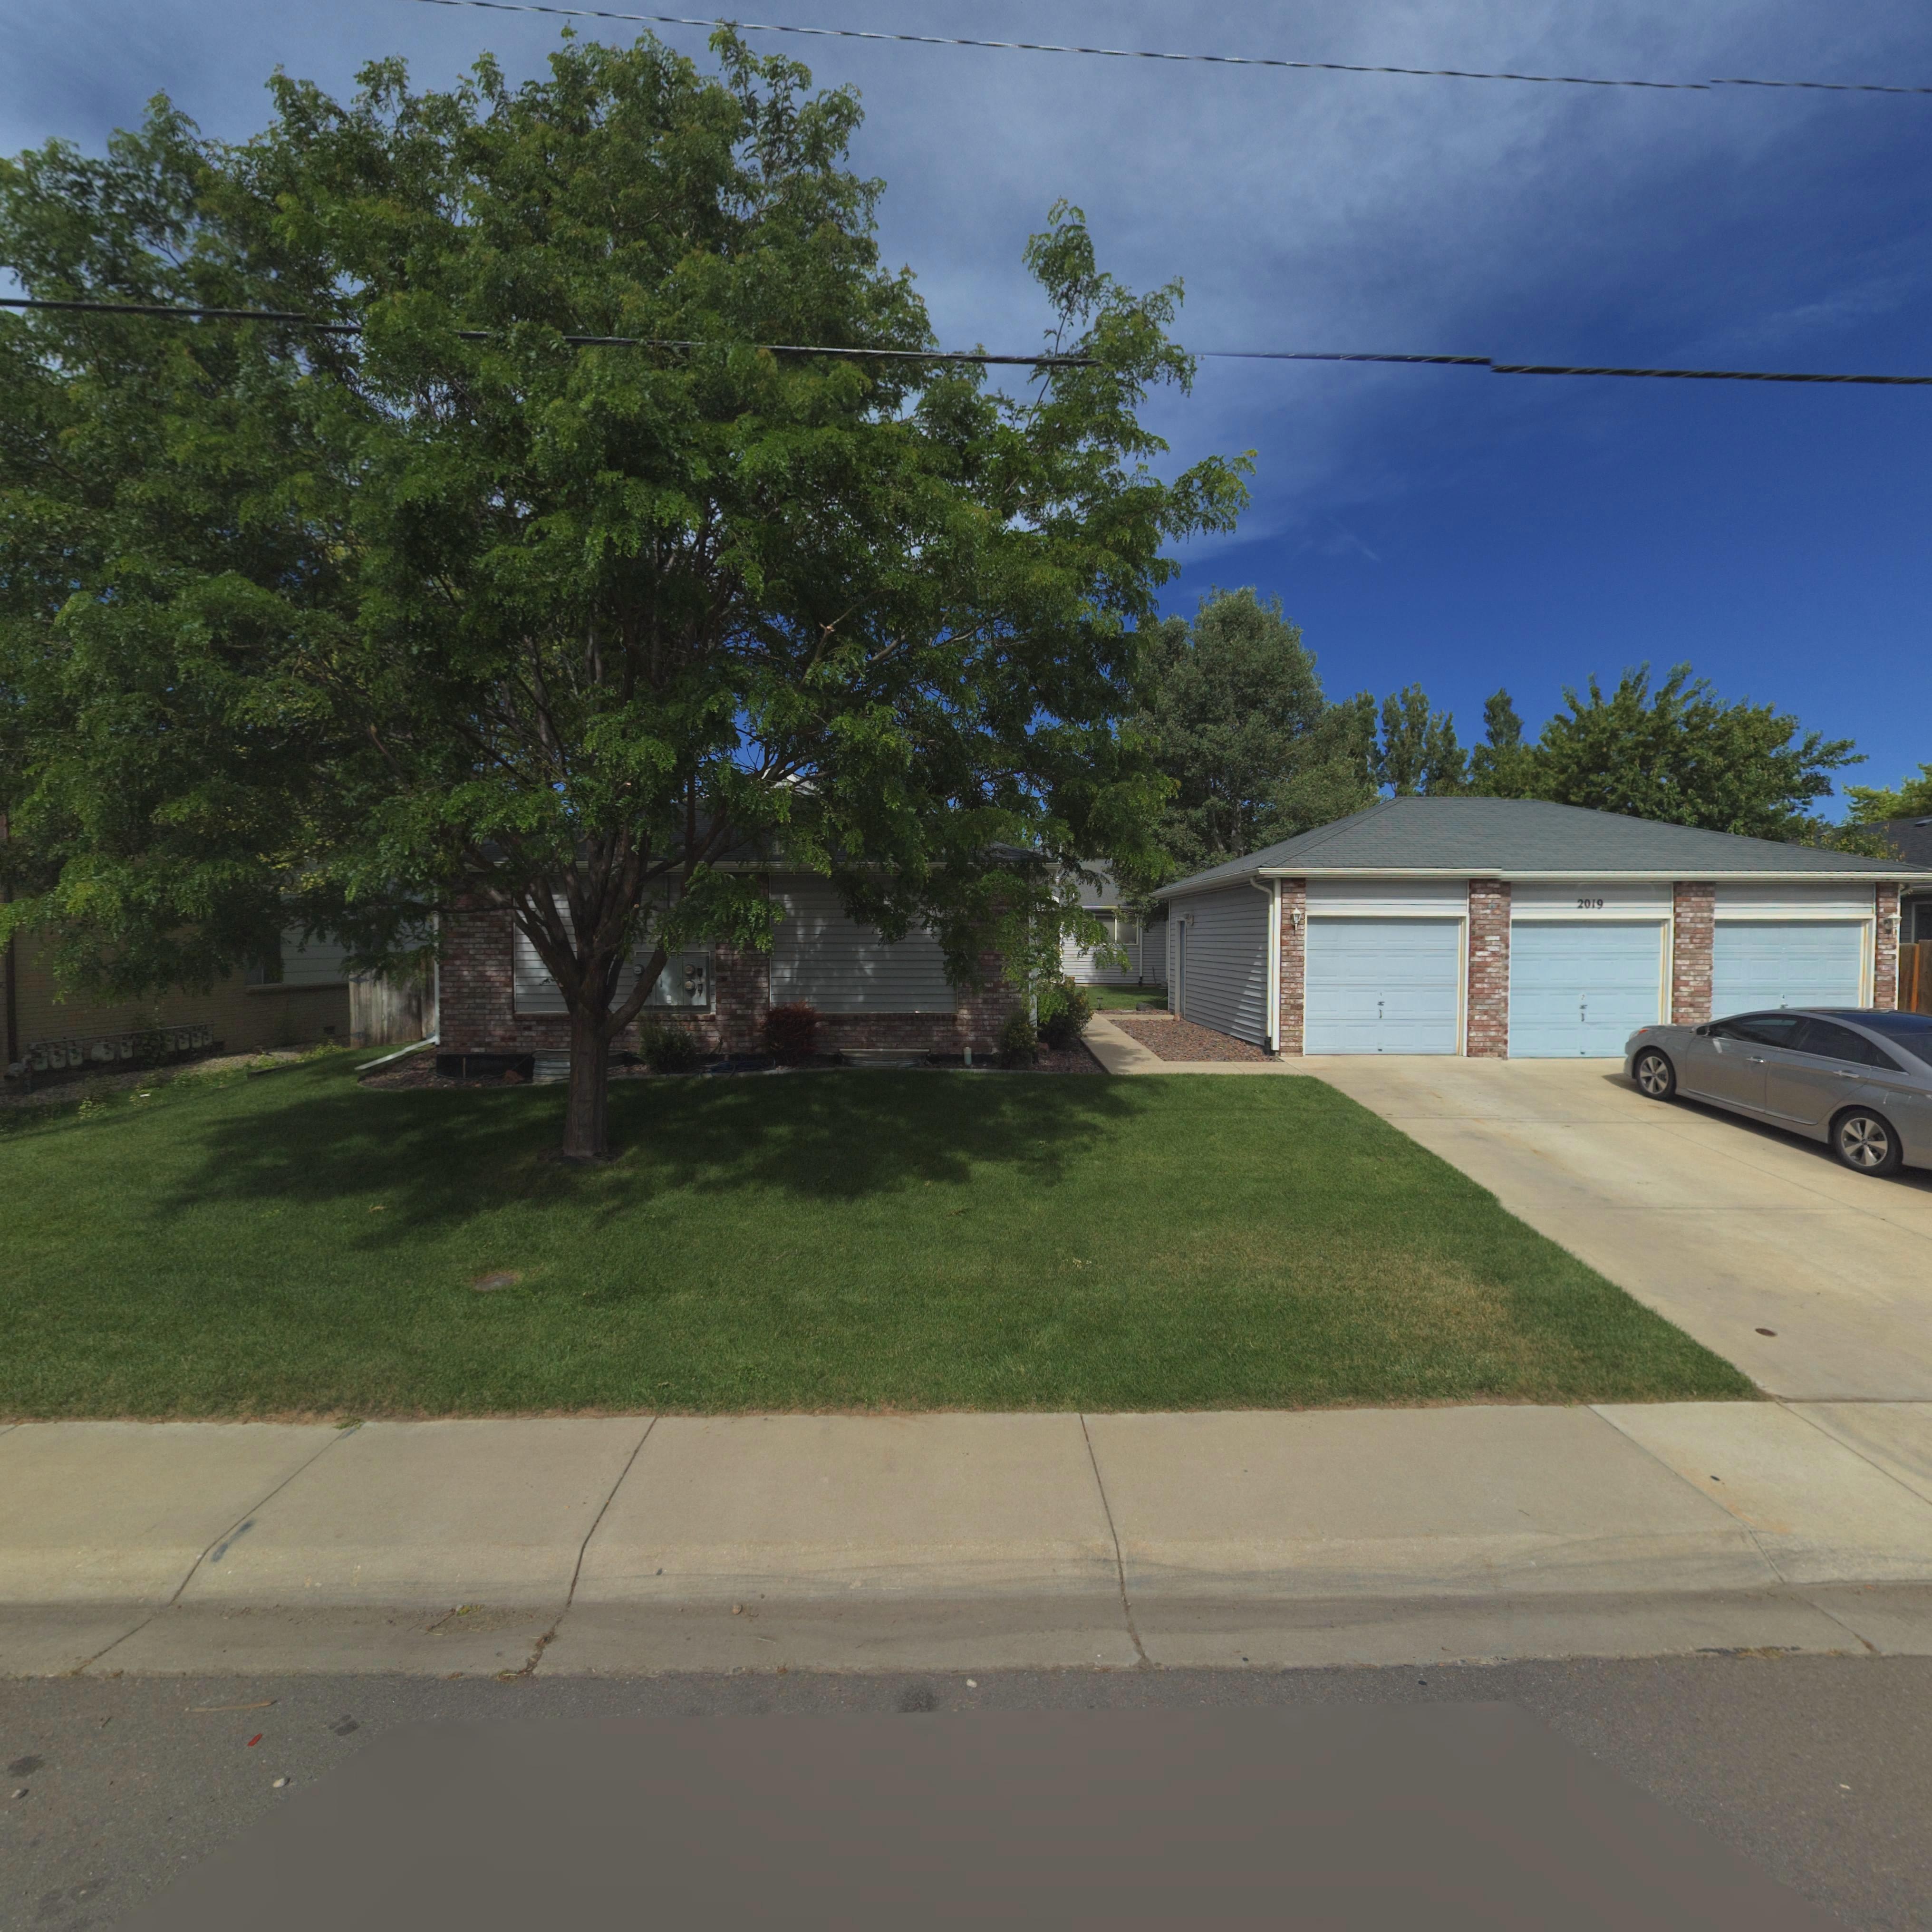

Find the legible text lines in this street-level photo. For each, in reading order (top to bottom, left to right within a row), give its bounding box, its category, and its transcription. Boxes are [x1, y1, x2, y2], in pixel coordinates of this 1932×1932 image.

[1576, 898, 1603, 909] StreetNumber: 2019